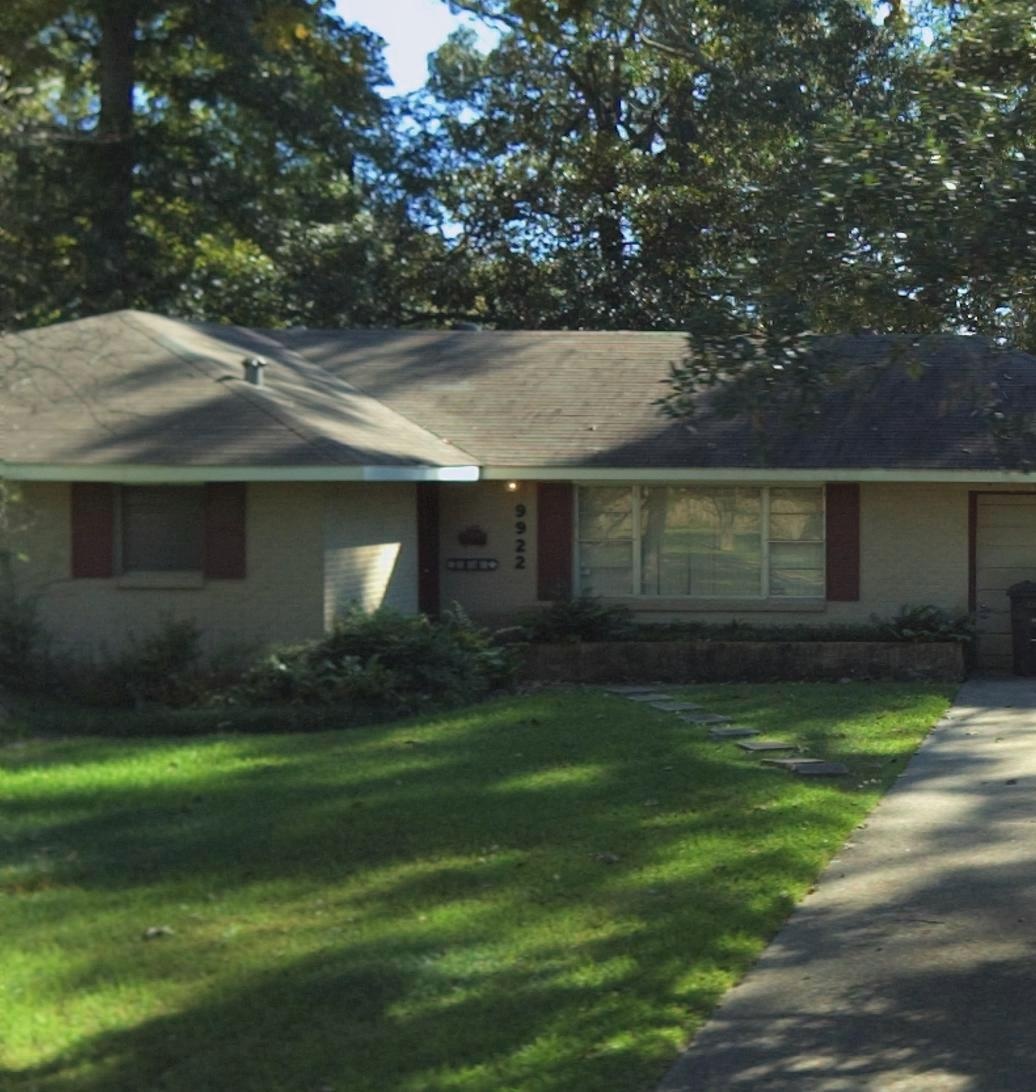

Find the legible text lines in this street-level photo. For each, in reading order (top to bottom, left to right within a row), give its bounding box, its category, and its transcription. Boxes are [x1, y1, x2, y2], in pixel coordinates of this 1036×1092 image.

[514, 503, 527, 571] StreetNumber: 9922